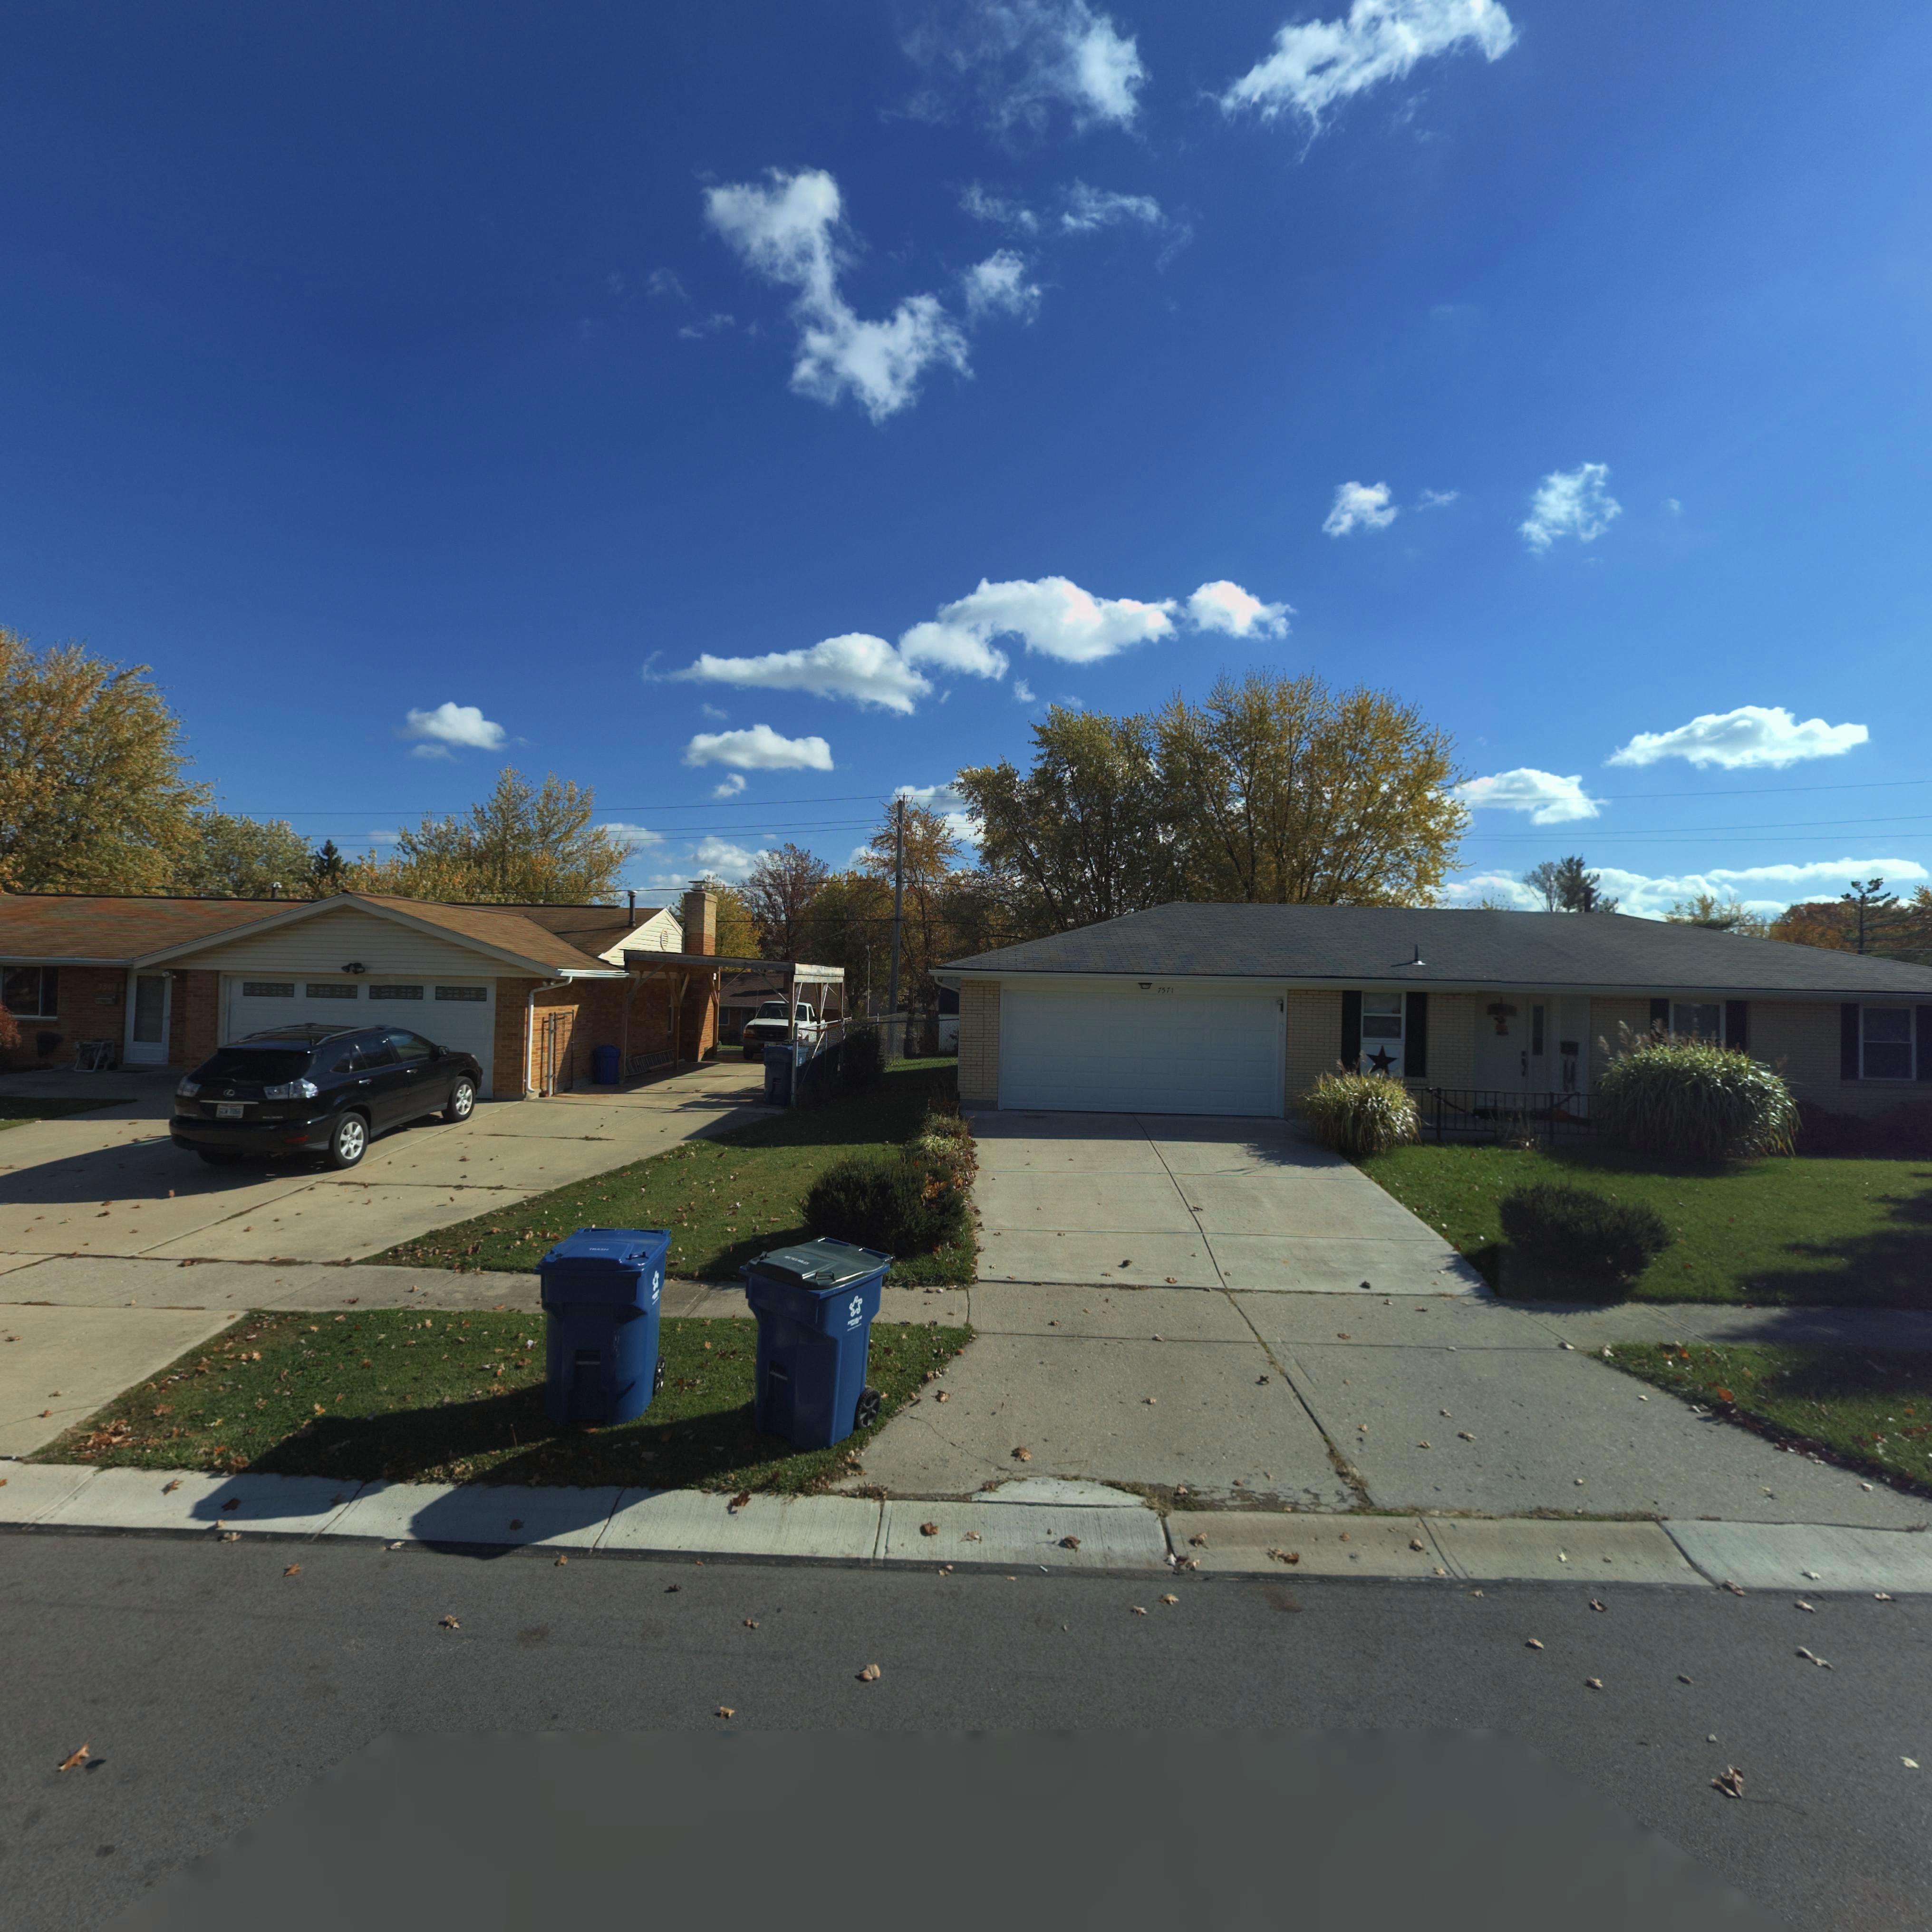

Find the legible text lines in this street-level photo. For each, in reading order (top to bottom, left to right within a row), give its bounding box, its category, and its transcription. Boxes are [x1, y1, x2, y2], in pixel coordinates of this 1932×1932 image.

[1157, 986, 1174, 994] StreetNumber: 7571